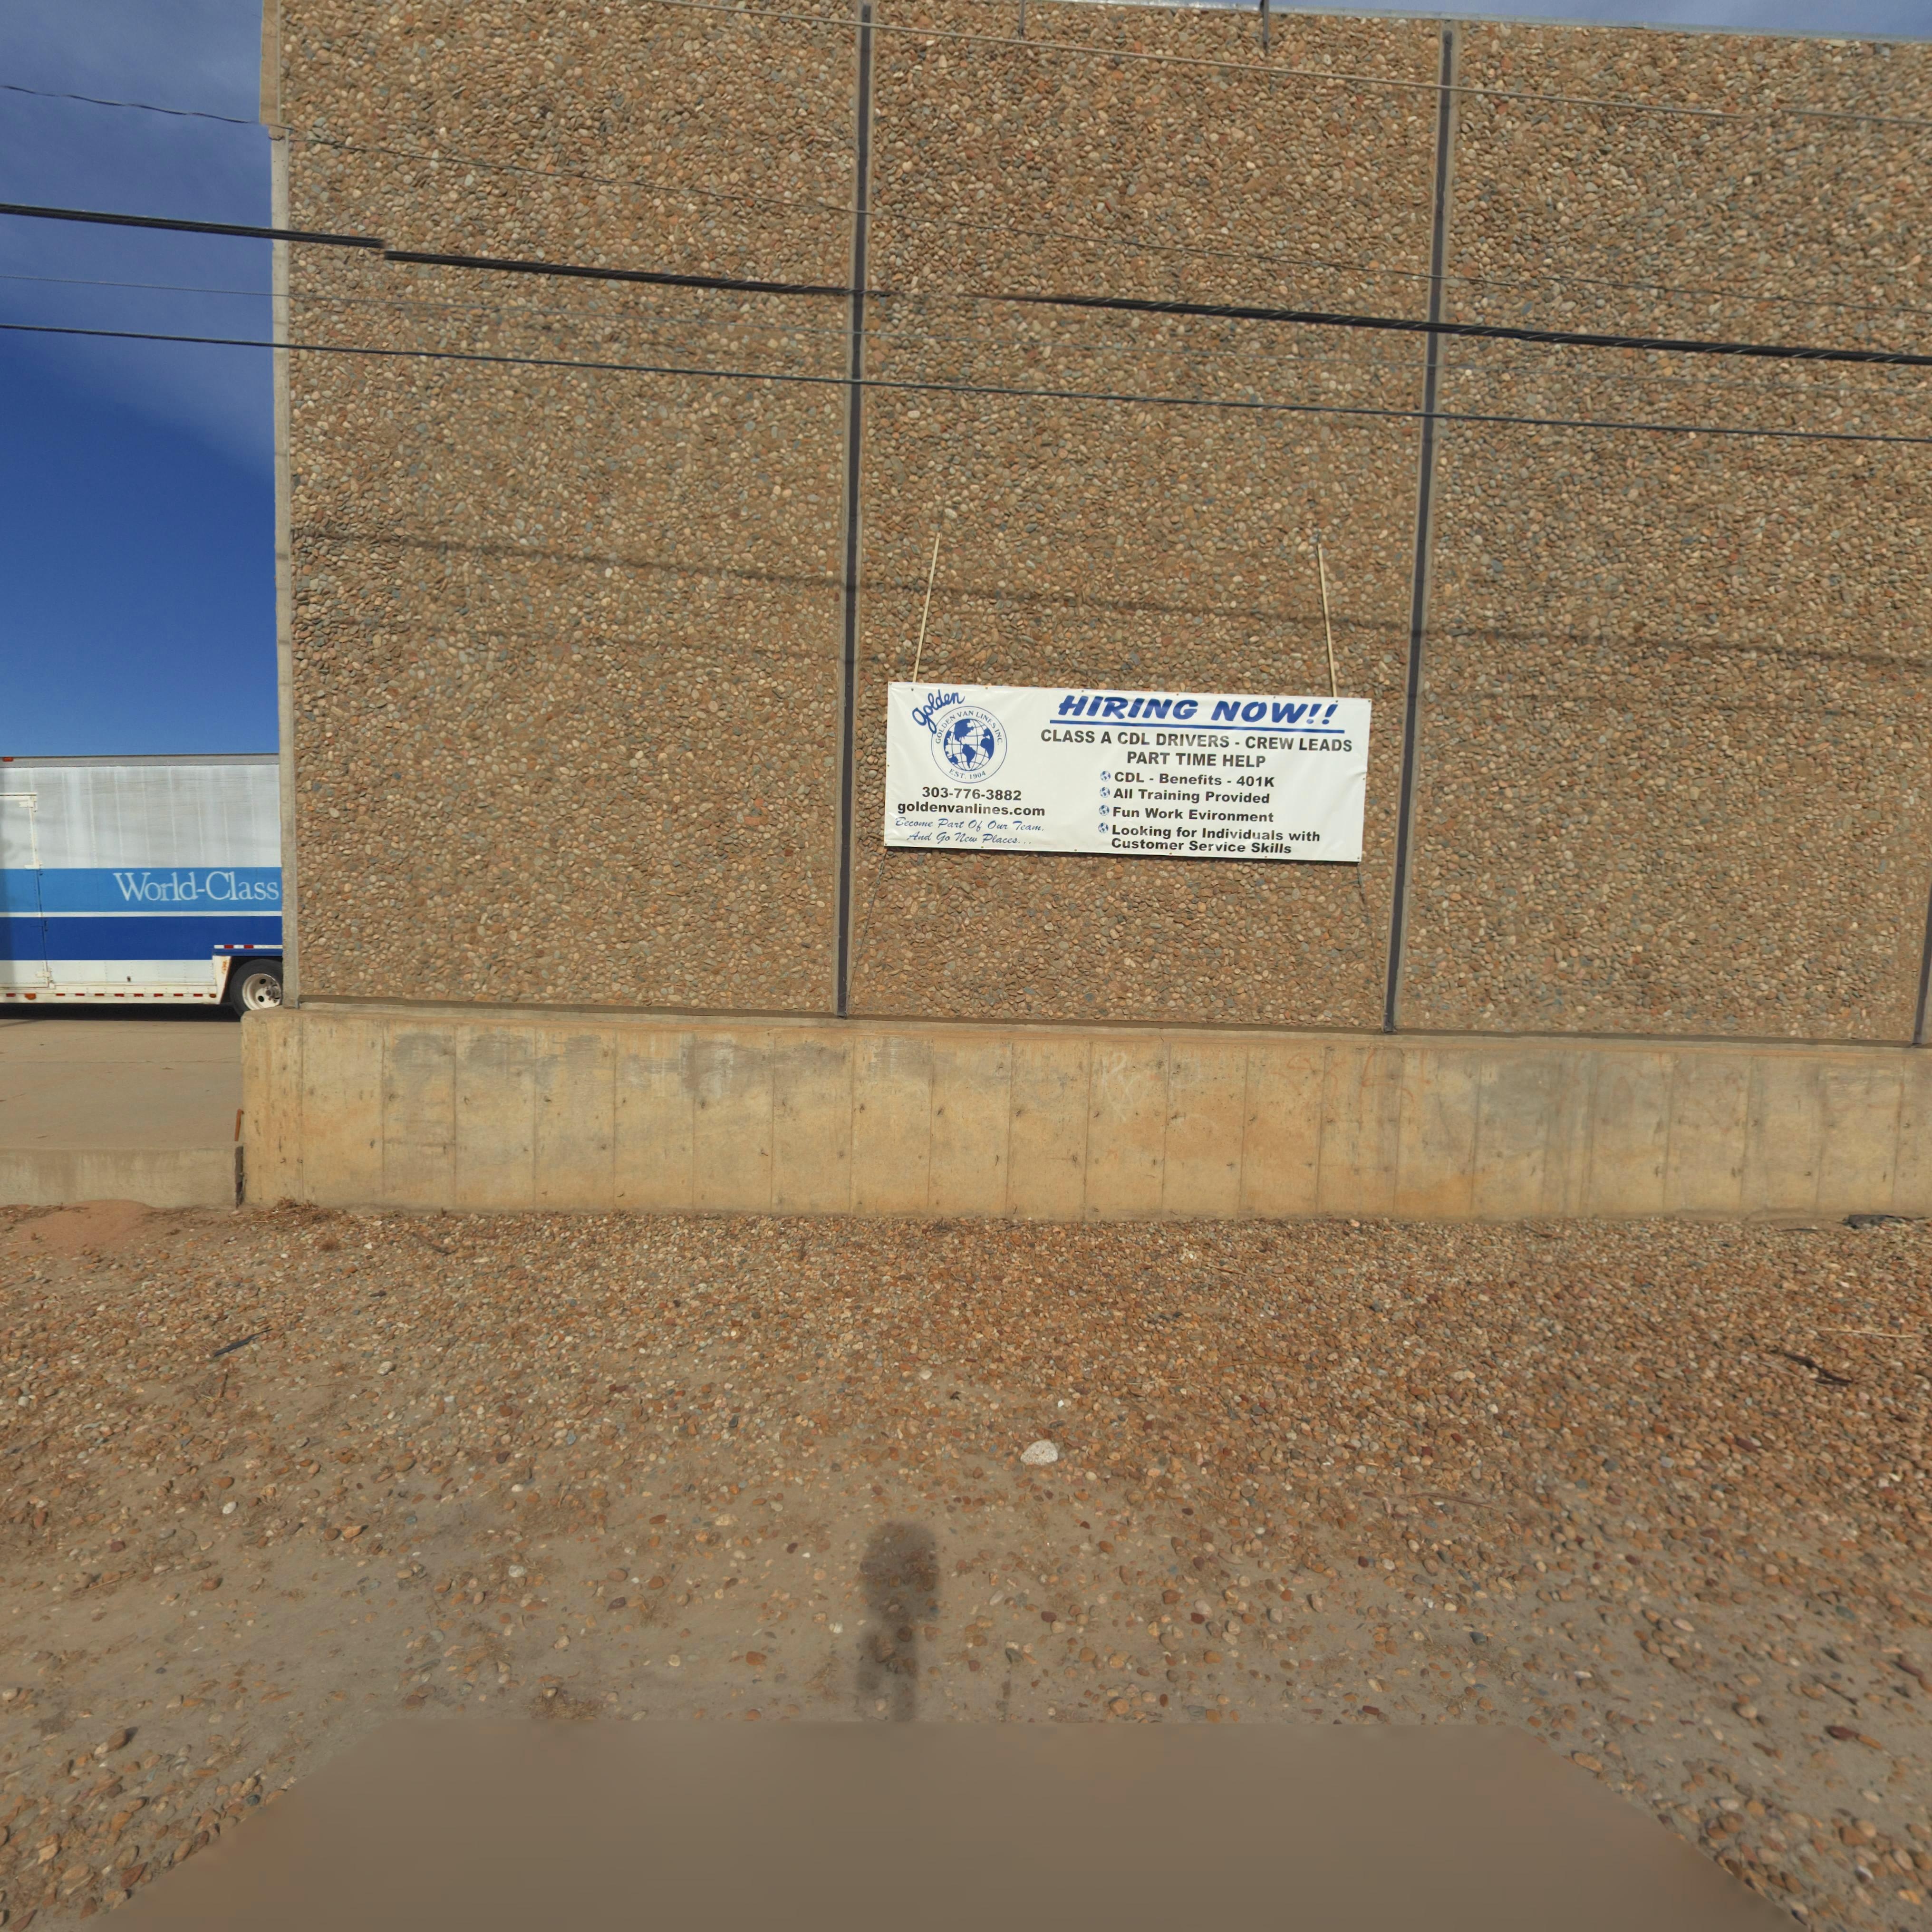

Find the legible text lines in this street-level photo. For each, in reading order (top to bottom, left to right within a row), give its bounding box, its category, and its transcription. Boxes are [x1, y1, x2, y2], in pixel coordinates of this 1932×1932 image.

[910, 687, 966, 734] BusinessName: golden
[935, 710, 1003, 745] BusinessName: GOLDEN VAN LINES INC